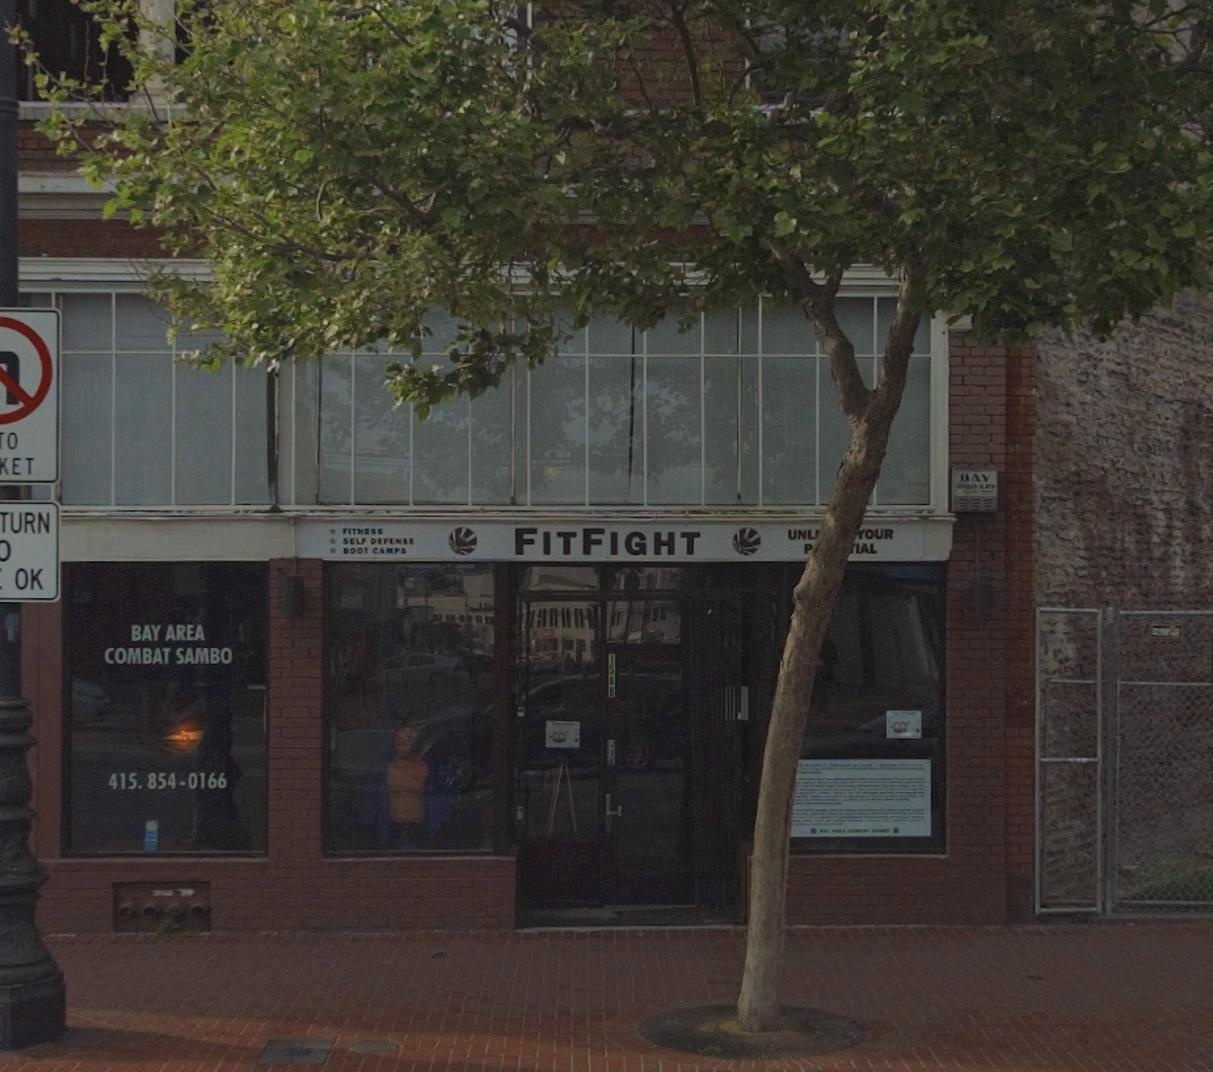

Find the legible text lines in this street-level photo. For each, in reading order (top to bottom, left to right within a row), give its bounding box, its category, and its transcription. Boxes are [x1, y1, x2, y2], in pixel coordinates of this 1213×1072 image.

[4, 429, 21, 453] None: O
[9, 454, 38, 479] None: ET
[958, 471, 995, 485] None: BAY
[0, 509, 53, 536] None: TURN
[339, 525, 387, 538] None: FITNESS
[341, 545, 410, 556] None: BOOT CAMPS
[340, 535, 418, 547] None: SELF DEFENSE
[512, 525, 703, 558] BusinessName: FITFIGHT
[785, 527, 819, 542] None: UNL
[801, 542, 815, 559] None: P
[854, 540, 880, 556] None: IAL
[862, 526, 896, 542] None: OUR
[11, 565, 48, 593] None: OK
[128, 622, 209, 645] None: BAY AREA
[102, 644, 236, 667] None: COMBAT SAMBO
[105, 768, 231, 793] None: 415.854-0166